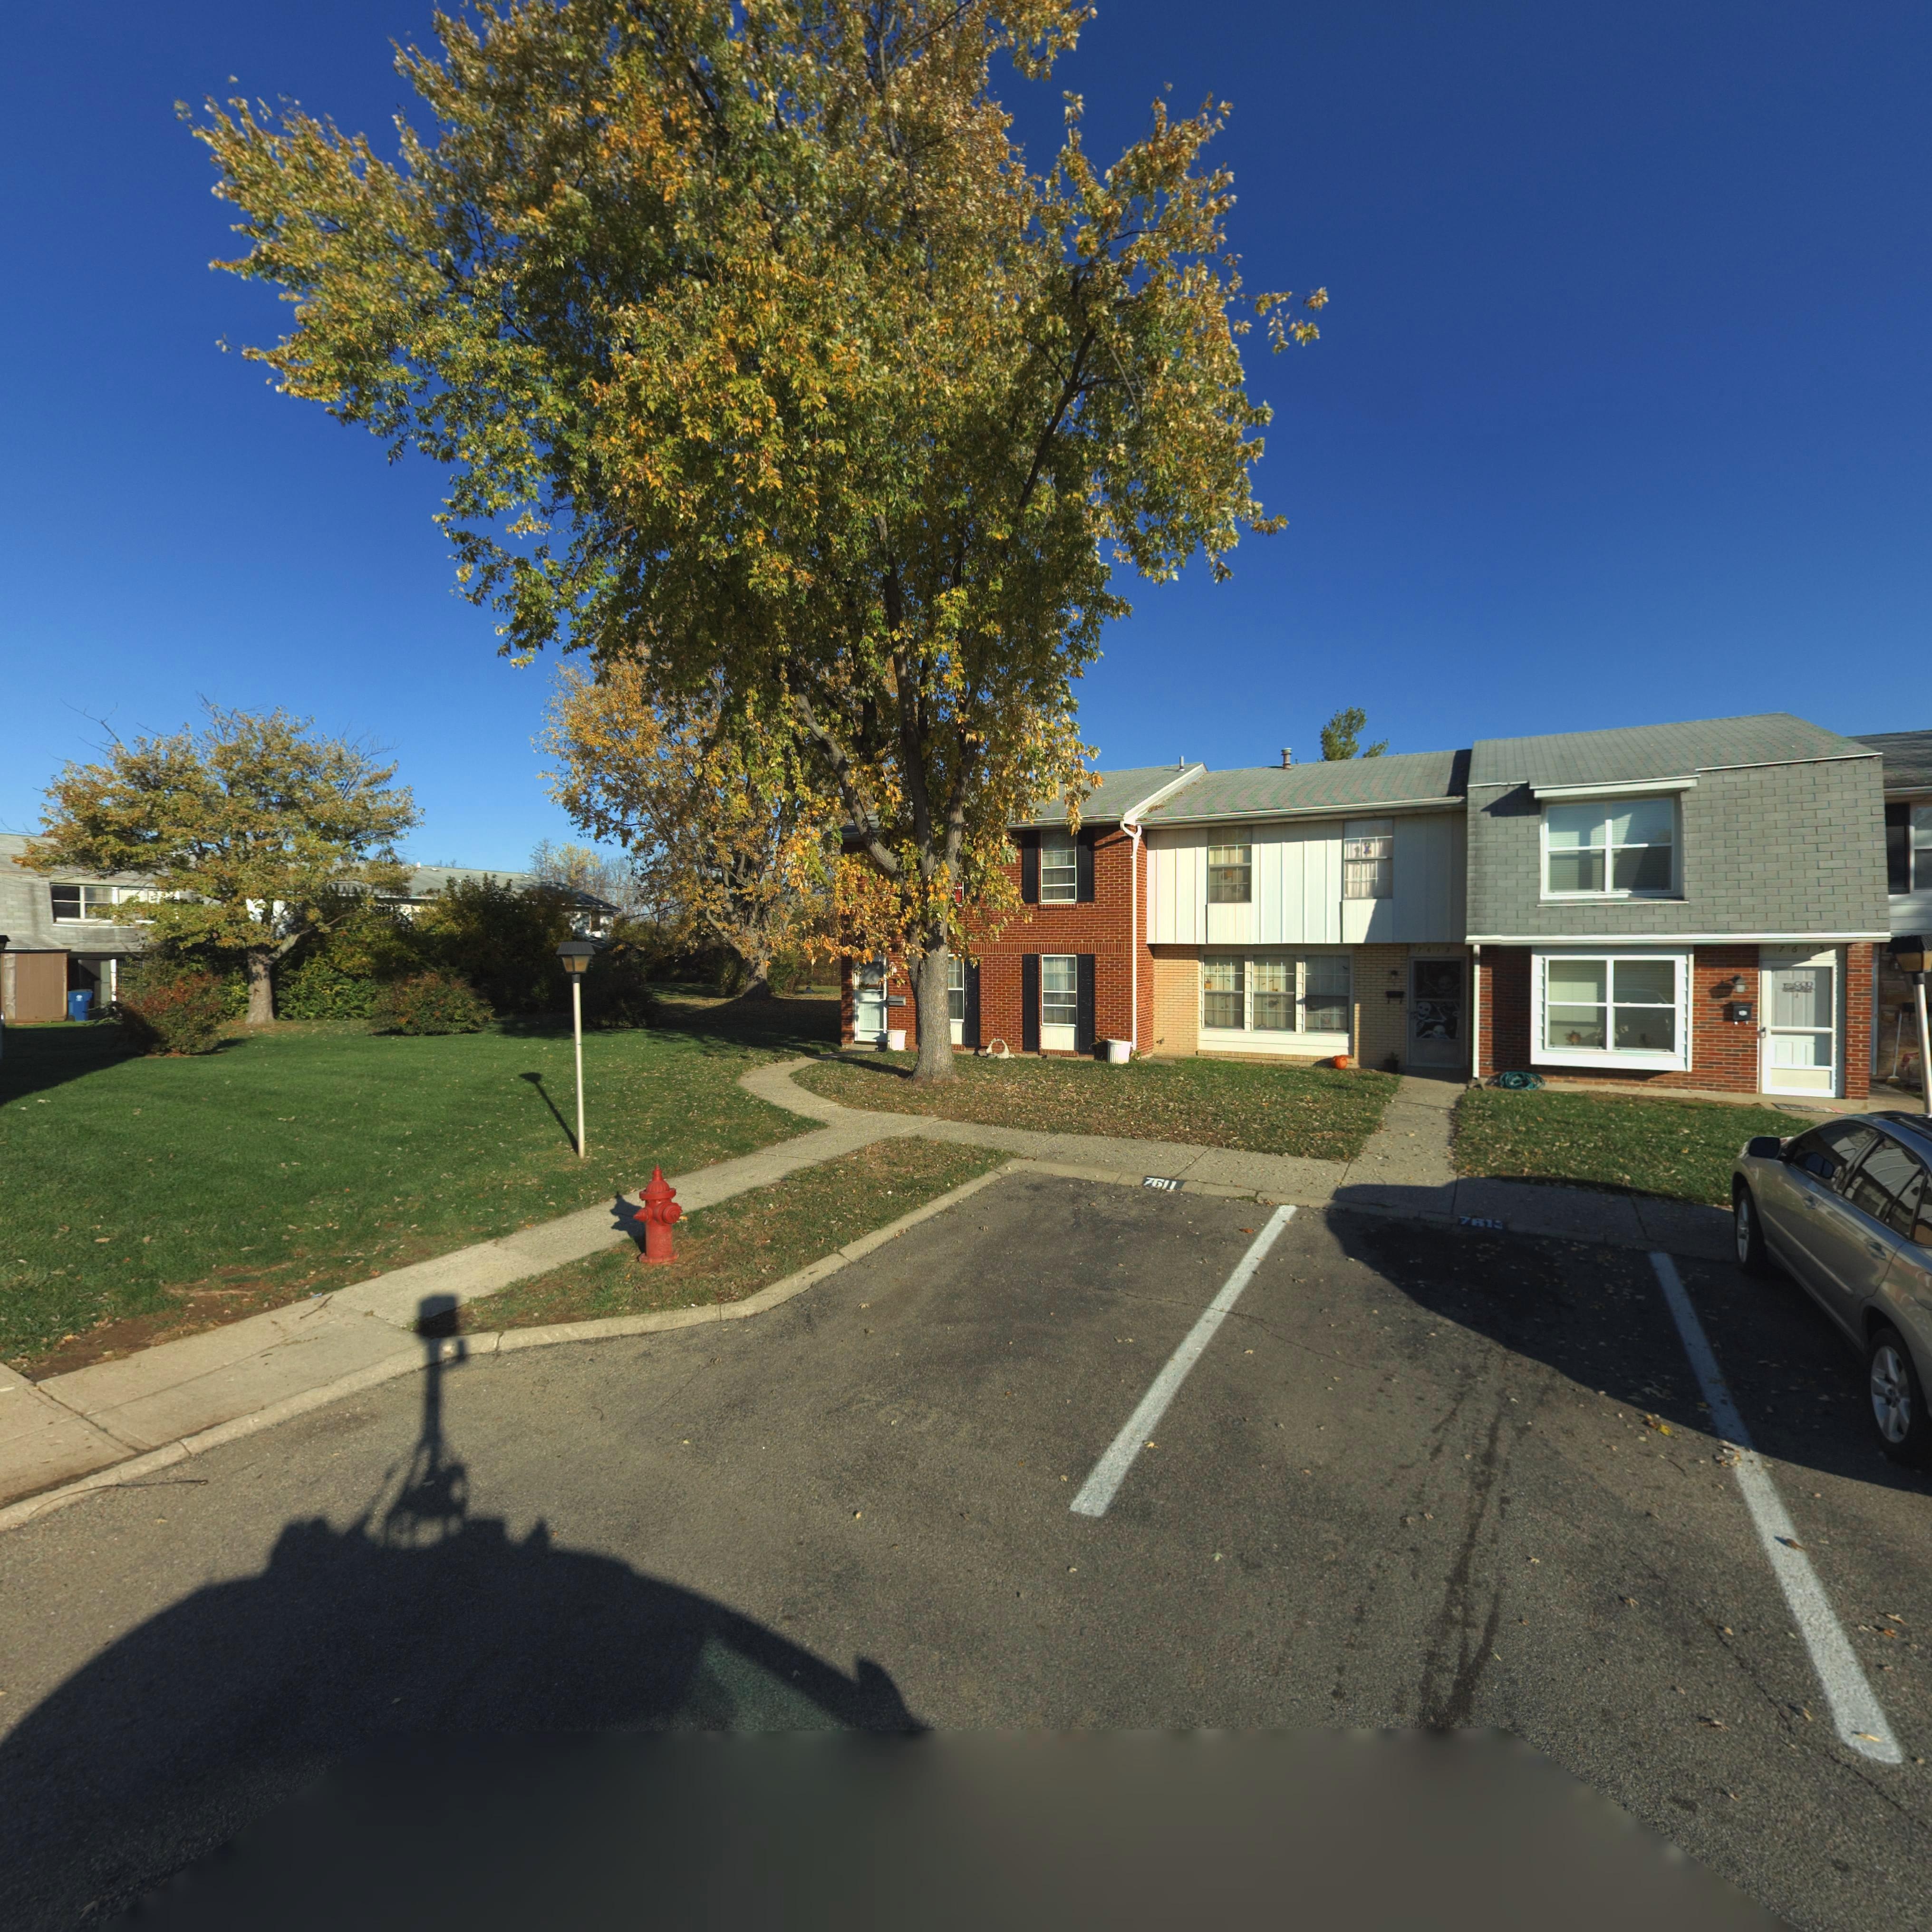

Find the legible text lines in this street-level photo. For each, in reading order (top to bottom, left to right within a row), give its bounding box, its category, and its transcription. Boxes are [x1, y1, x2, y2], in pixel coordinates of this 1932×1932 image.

[1416, 946, 1451, 953] StreetNumber: 7613
[1778, 945, 1825, 953] StreetNumber: 7615
[1142, 1176, 1178, 1191] StreetNumber: 7611
[1459, 1215, 1504, 1230] StreetNumber: 7613
[841, 1390, 945, 1438] StreetNumber: 761